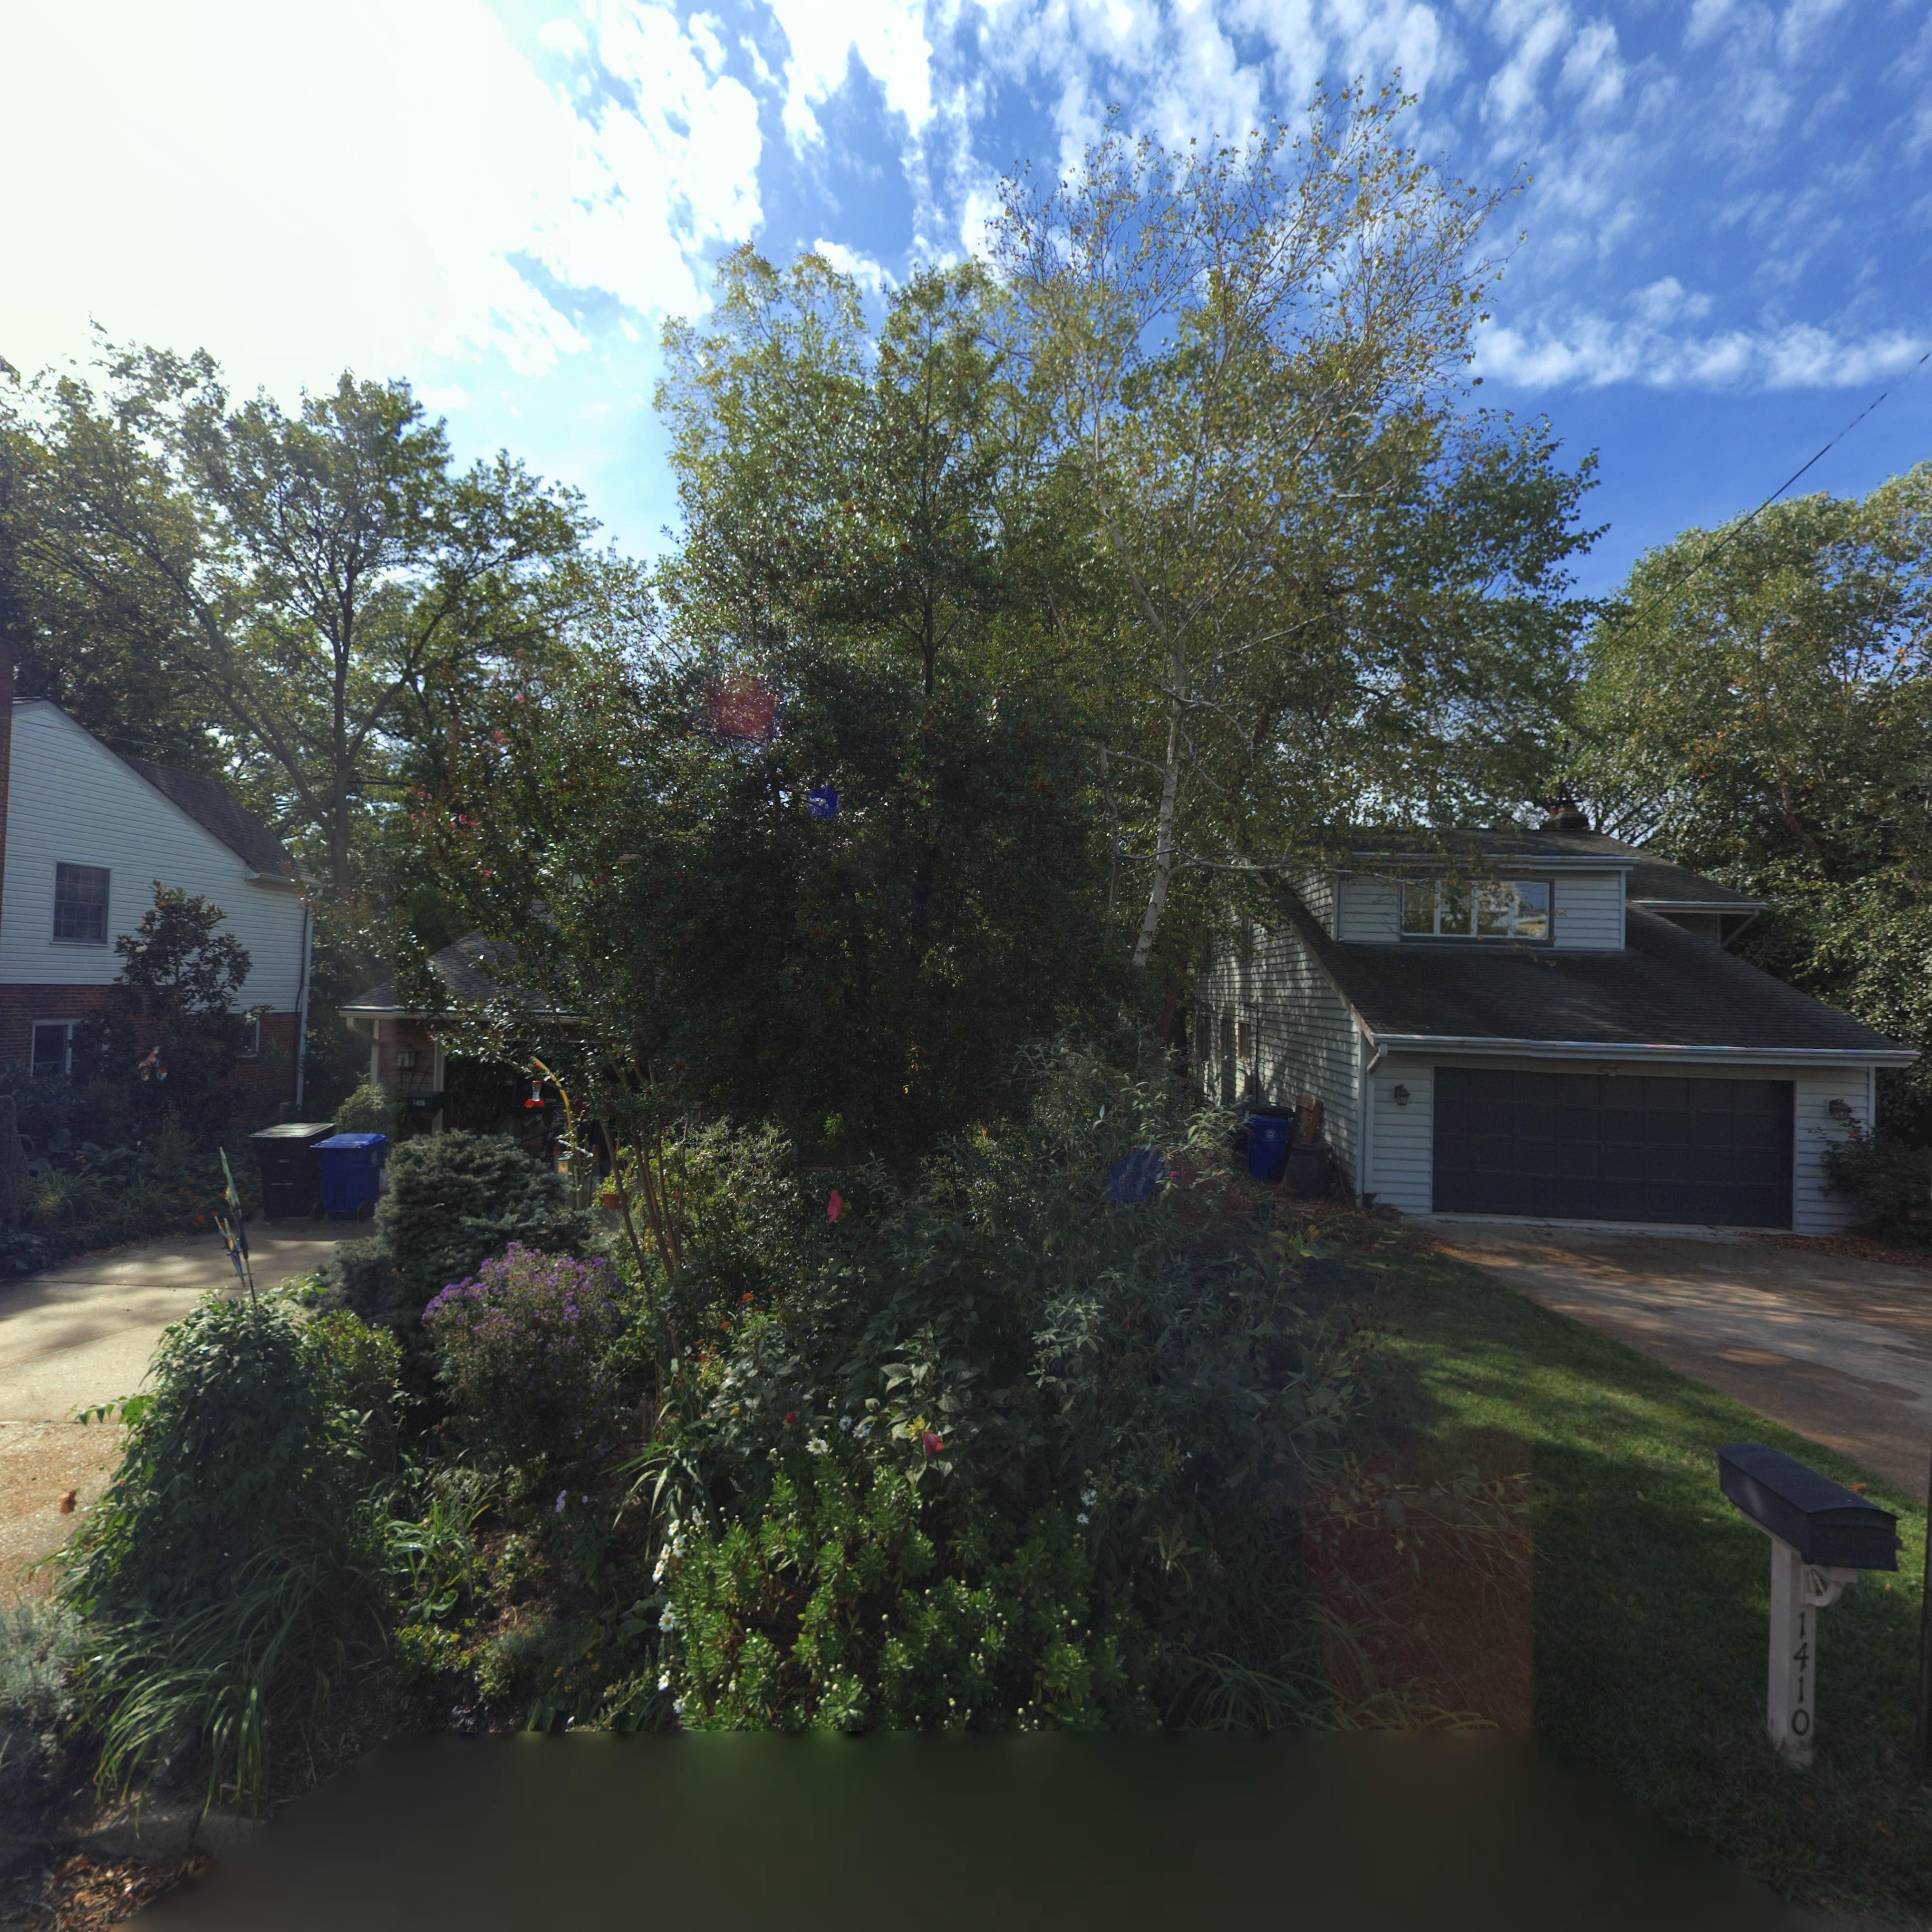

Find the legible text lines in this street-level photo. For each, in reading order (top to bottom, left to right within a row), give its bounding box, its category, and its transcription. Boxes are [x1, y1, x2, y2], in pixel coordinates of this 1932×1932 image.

[1790, 1608, 1812, 1739] StreetNumber: 1410